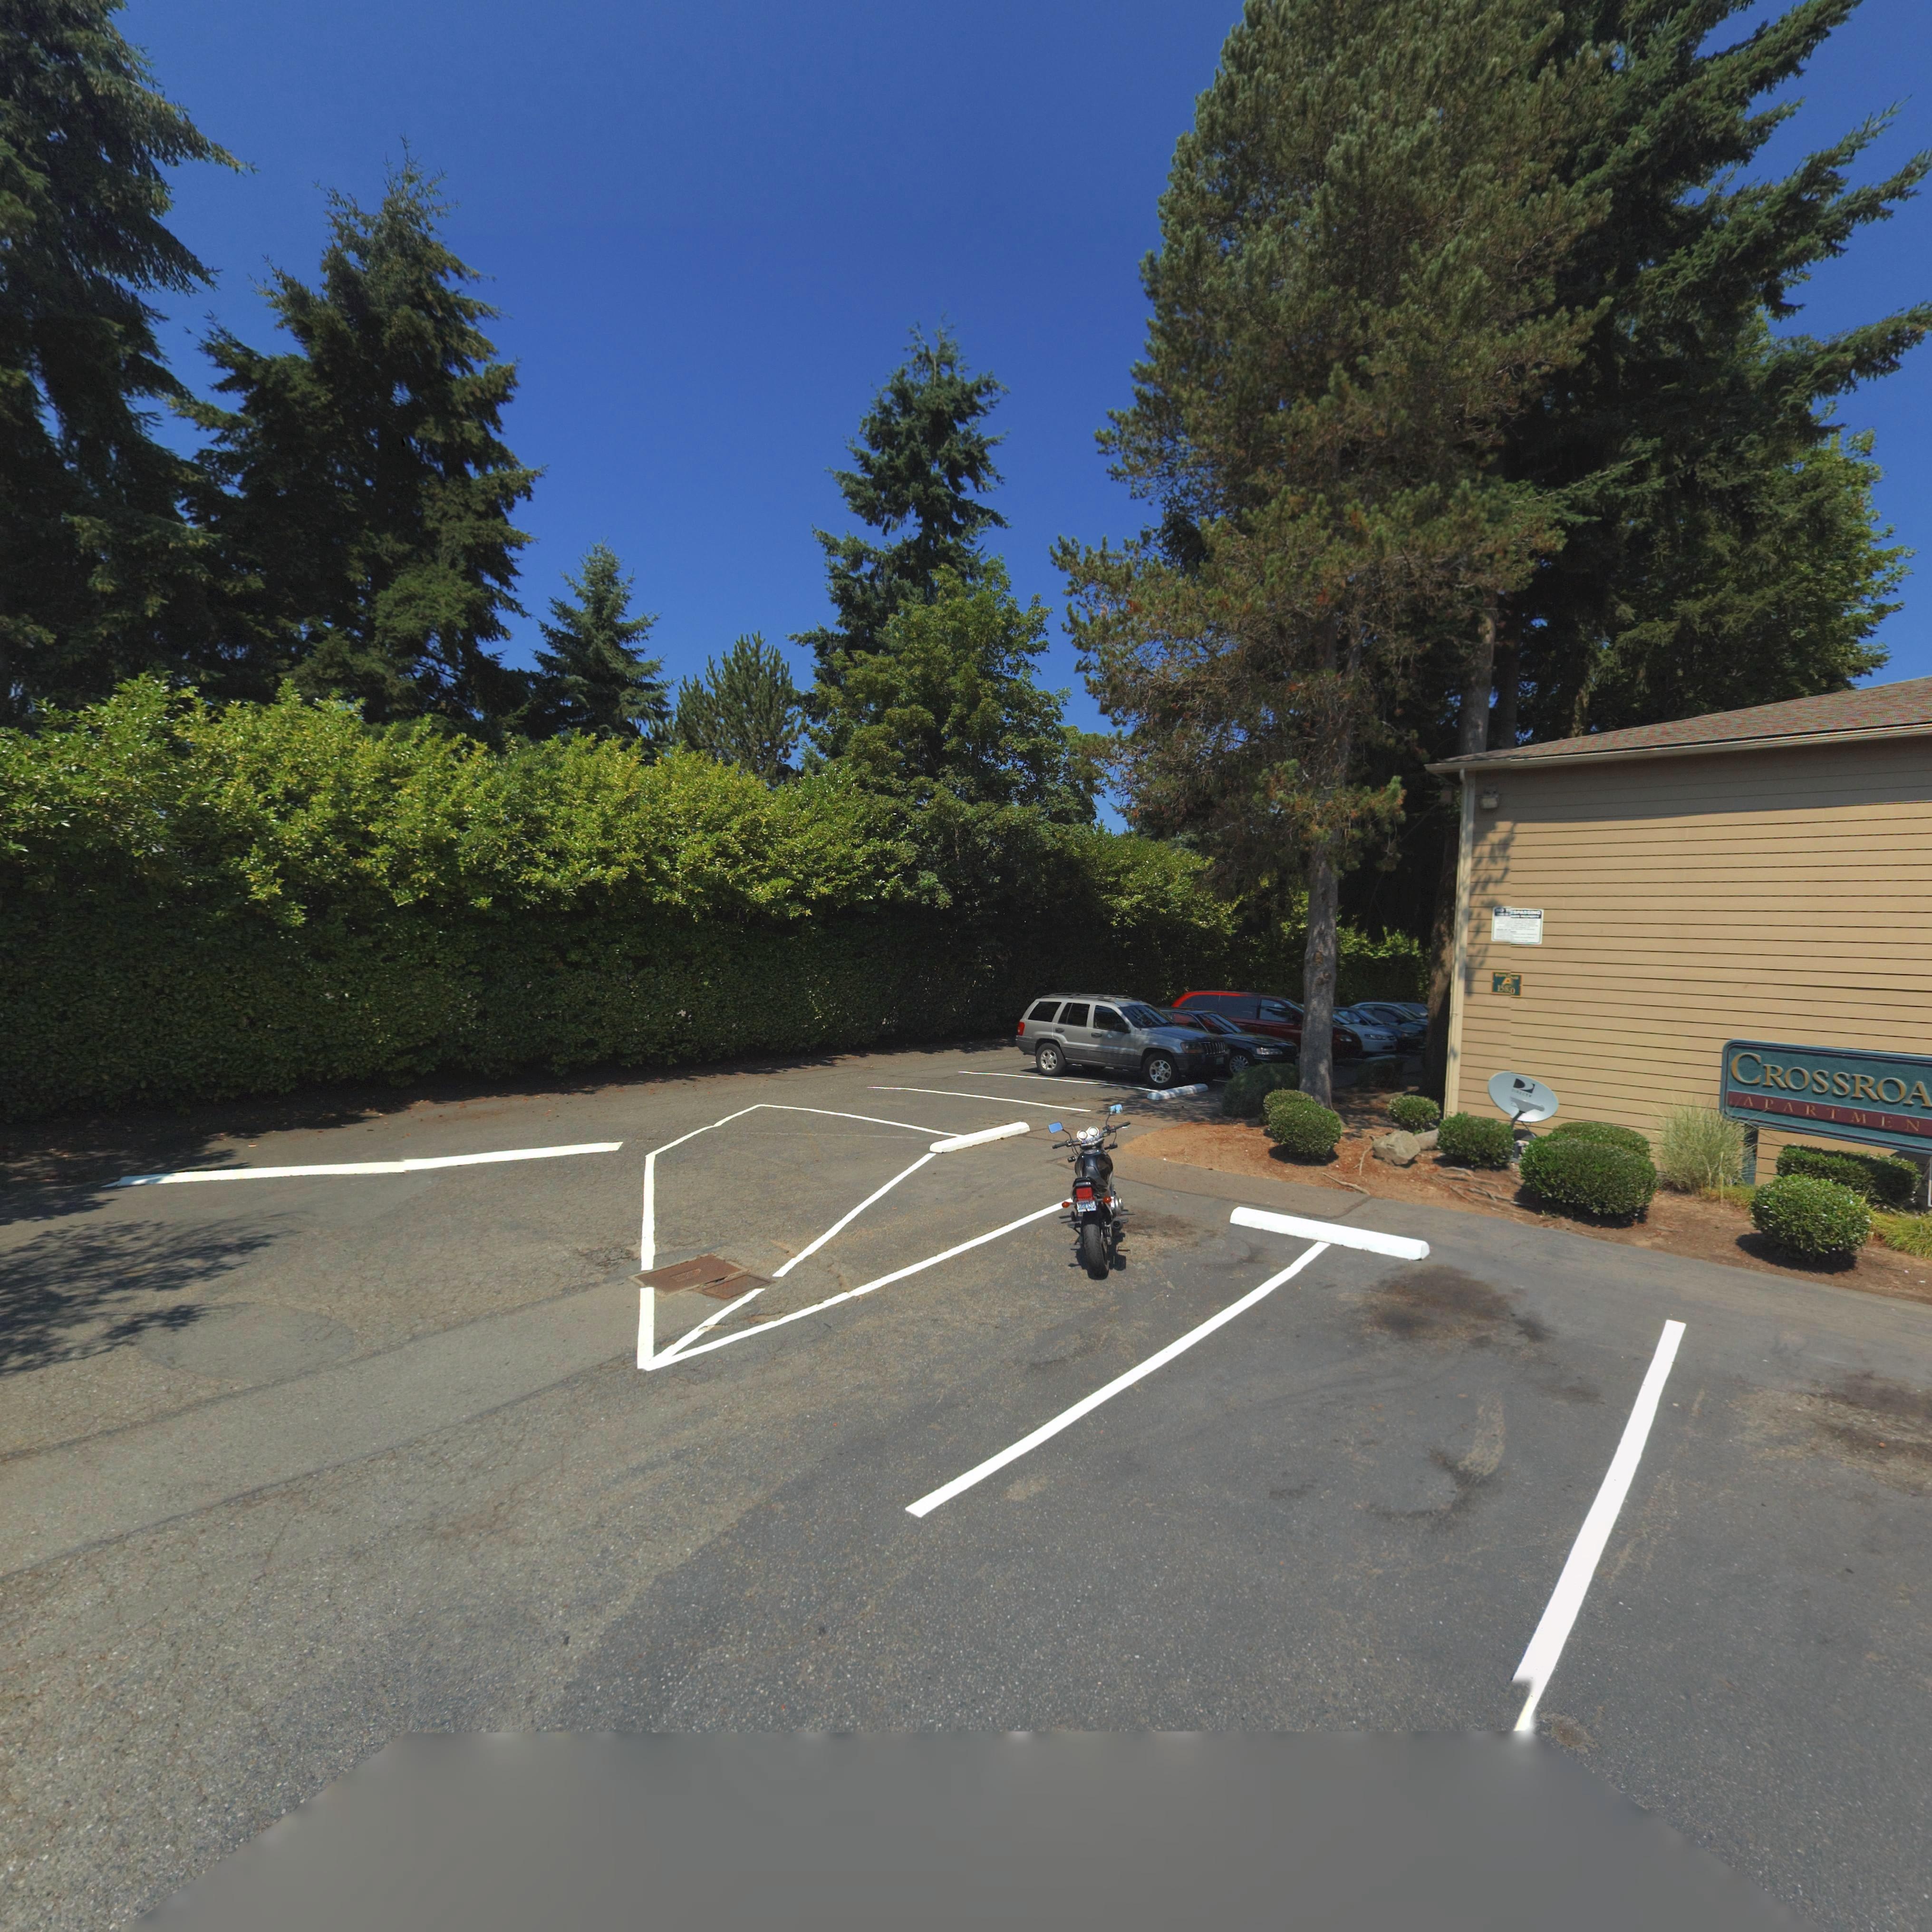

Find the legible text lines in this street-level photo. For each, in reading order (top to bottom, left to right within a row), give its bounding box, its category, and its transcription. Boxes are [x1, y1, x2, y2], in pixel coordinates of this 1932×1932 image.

[1497, 985, 1515, 994] StreetNumber: 158*0
[1501, 977, 1514, 985] StreetNumber: A
[1730, 1052, 1932, 1108] BusinessName: CROSSROA
[1743, 1096, 1920, 1131] BusinessName: APARTMEN